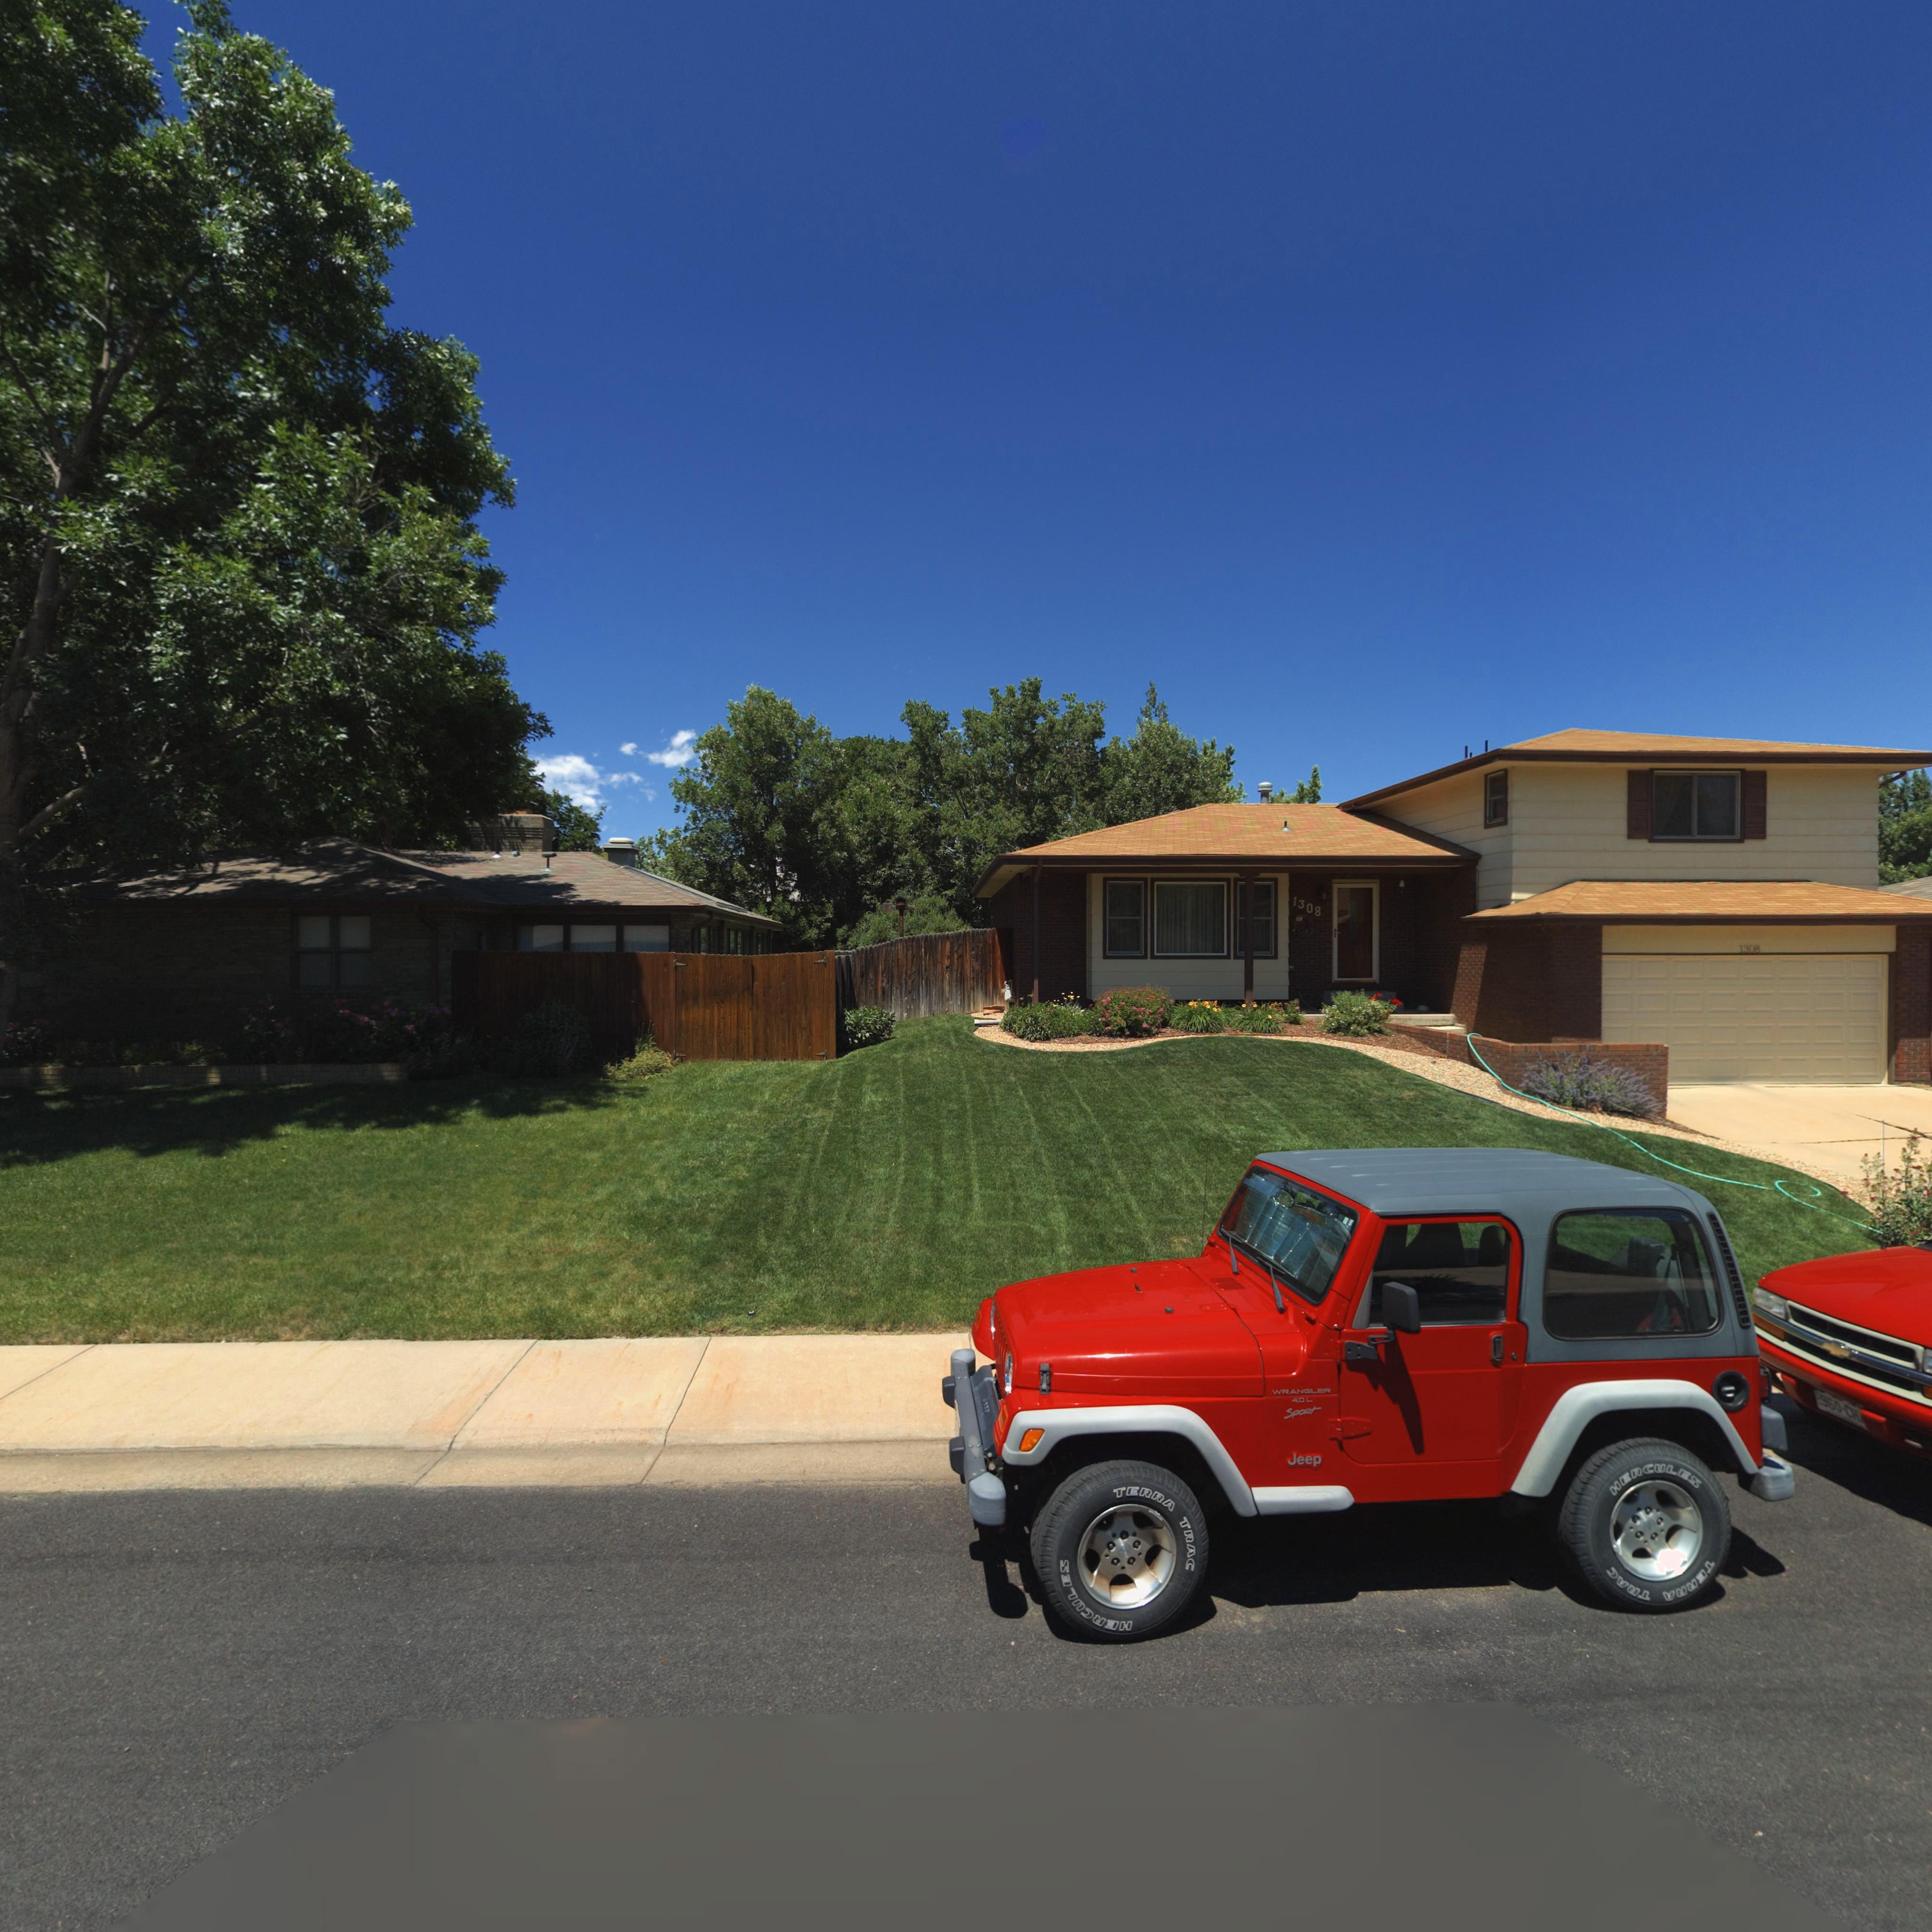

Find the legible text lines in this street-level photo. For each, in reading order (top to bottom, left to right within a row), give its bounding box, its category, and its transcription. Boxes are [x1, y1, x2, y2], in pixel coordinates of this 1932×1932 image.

[1293, 895, 1321, 916] StreetNumber: 1308
[1738, 944, 1760, 954] StreetNumber: 1308